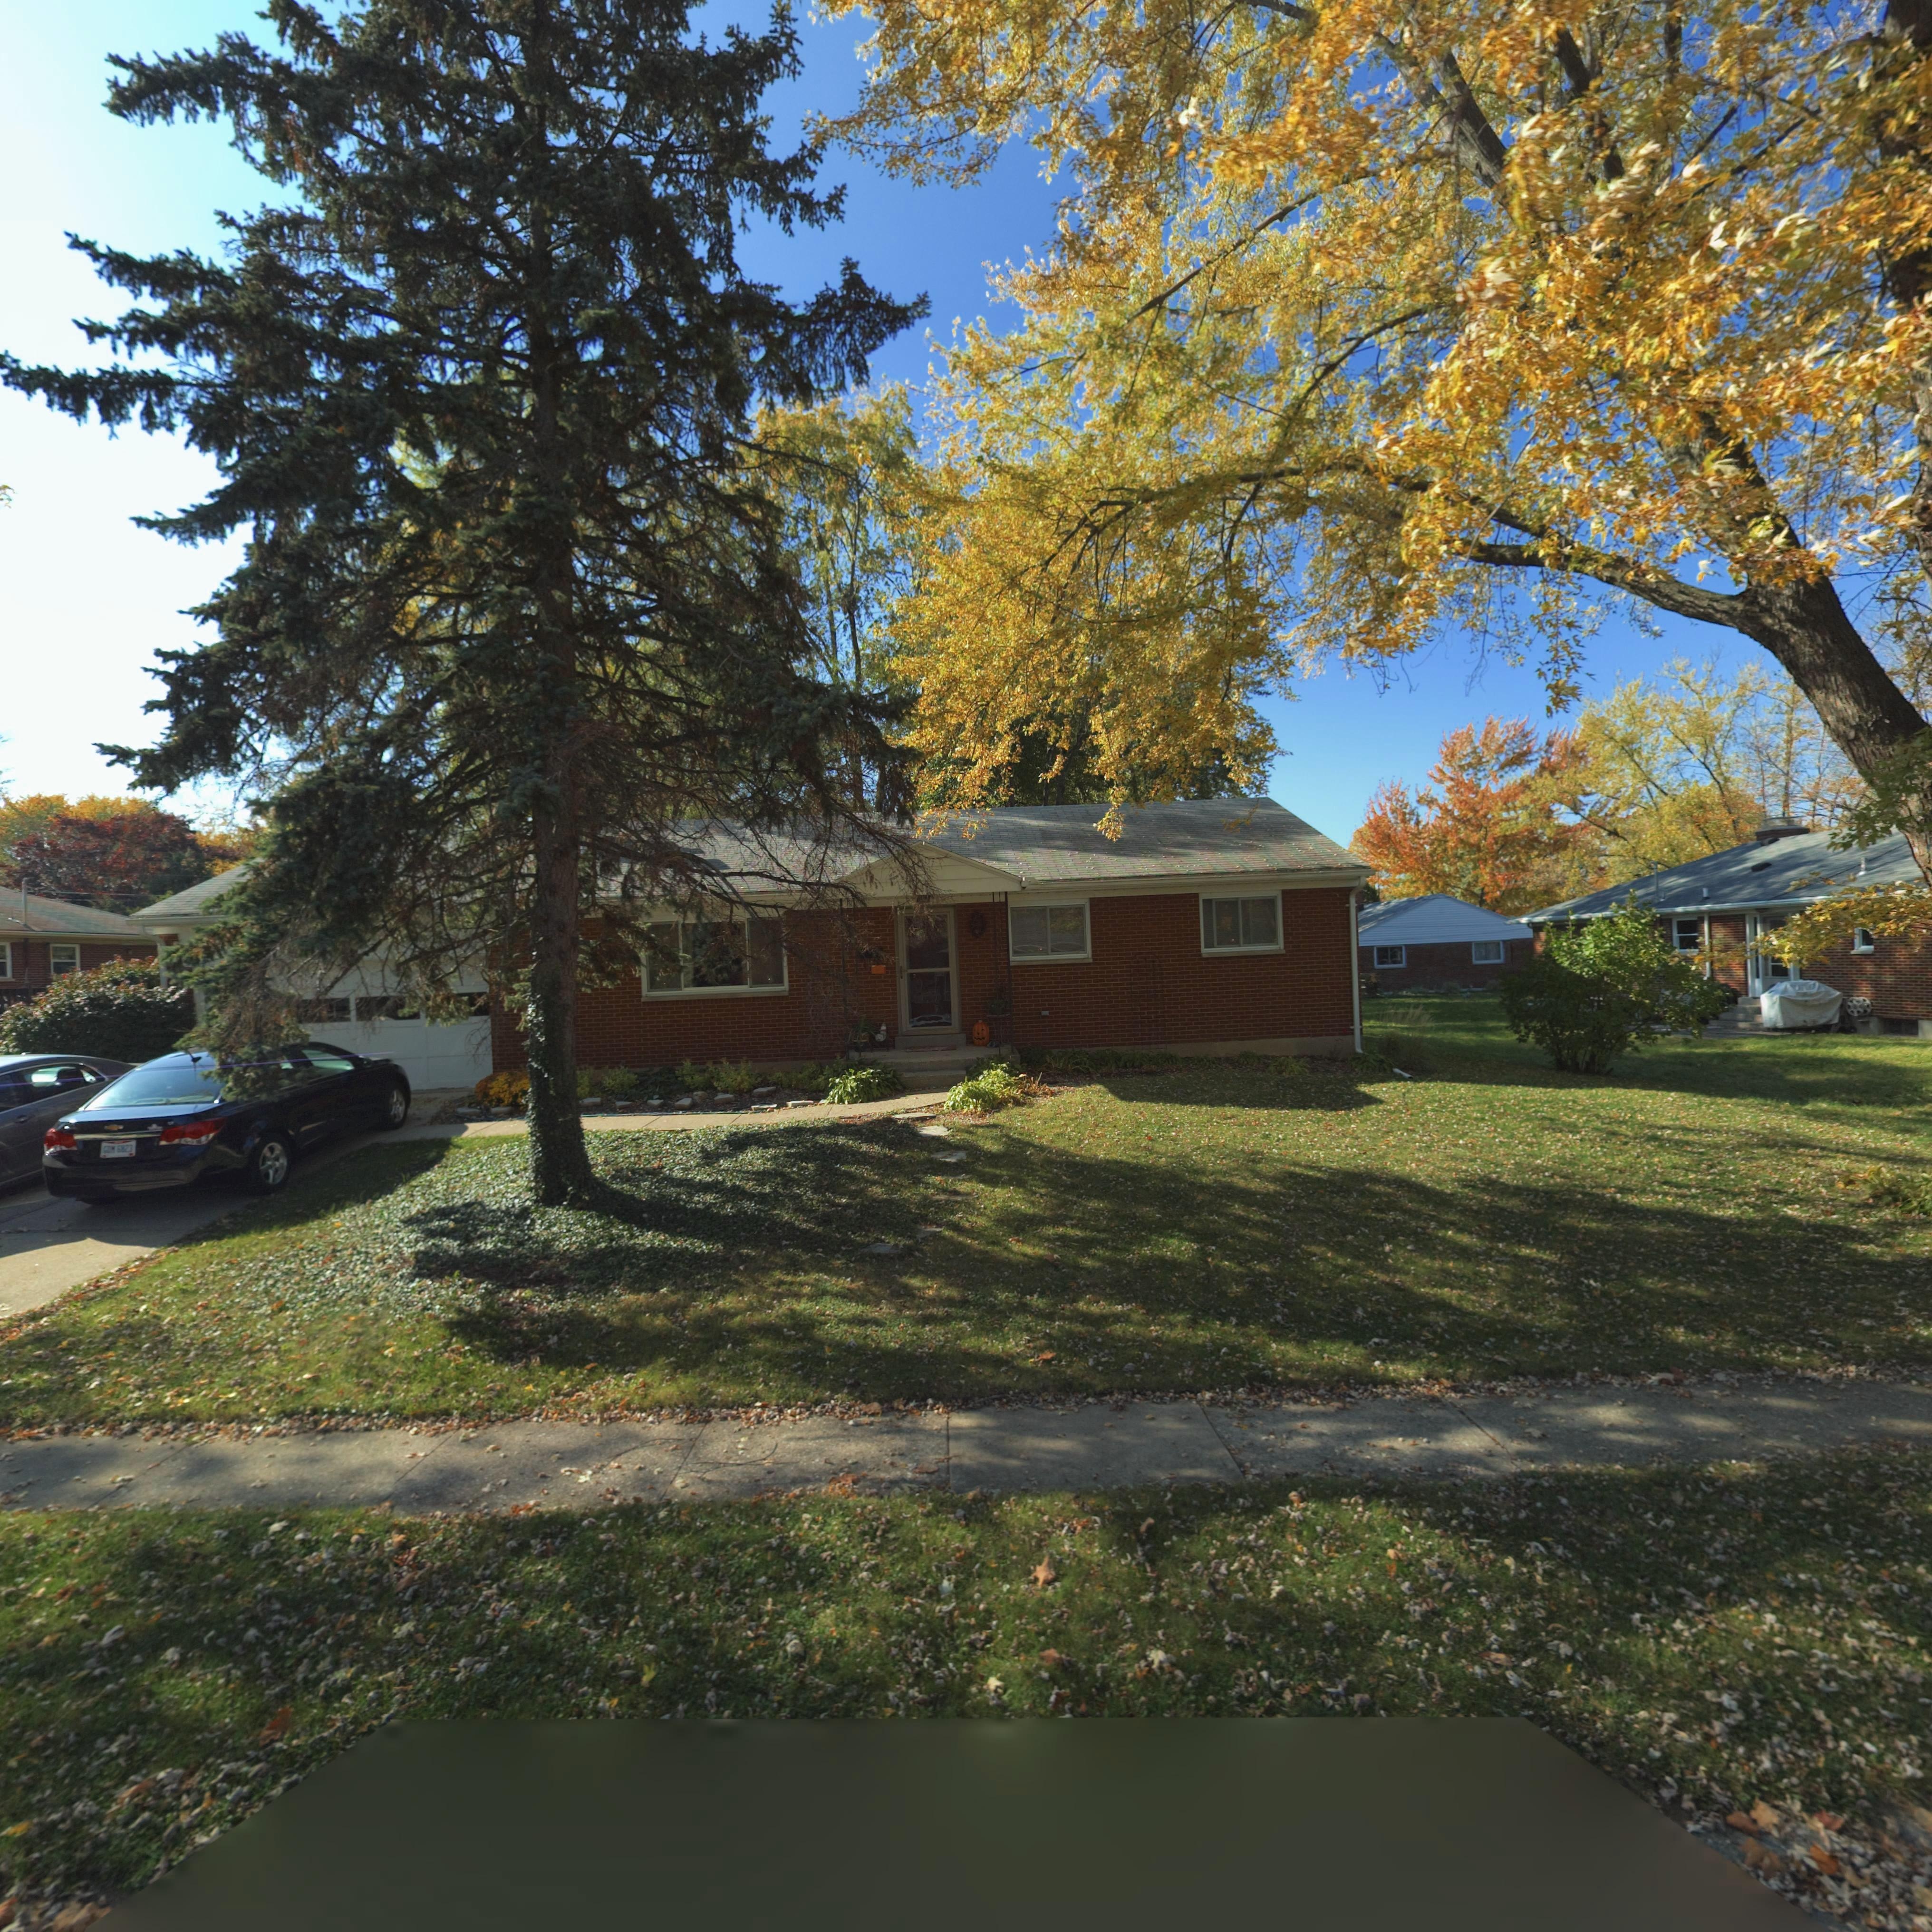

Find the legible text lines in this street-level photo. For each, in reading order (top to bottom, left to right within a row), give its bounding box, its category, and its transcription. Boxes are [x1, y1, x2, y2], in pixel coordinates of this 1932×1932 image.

[167, 1121, 174, 1126] None: LT
[102, 1144, 133, 1154] None: GDM 6823